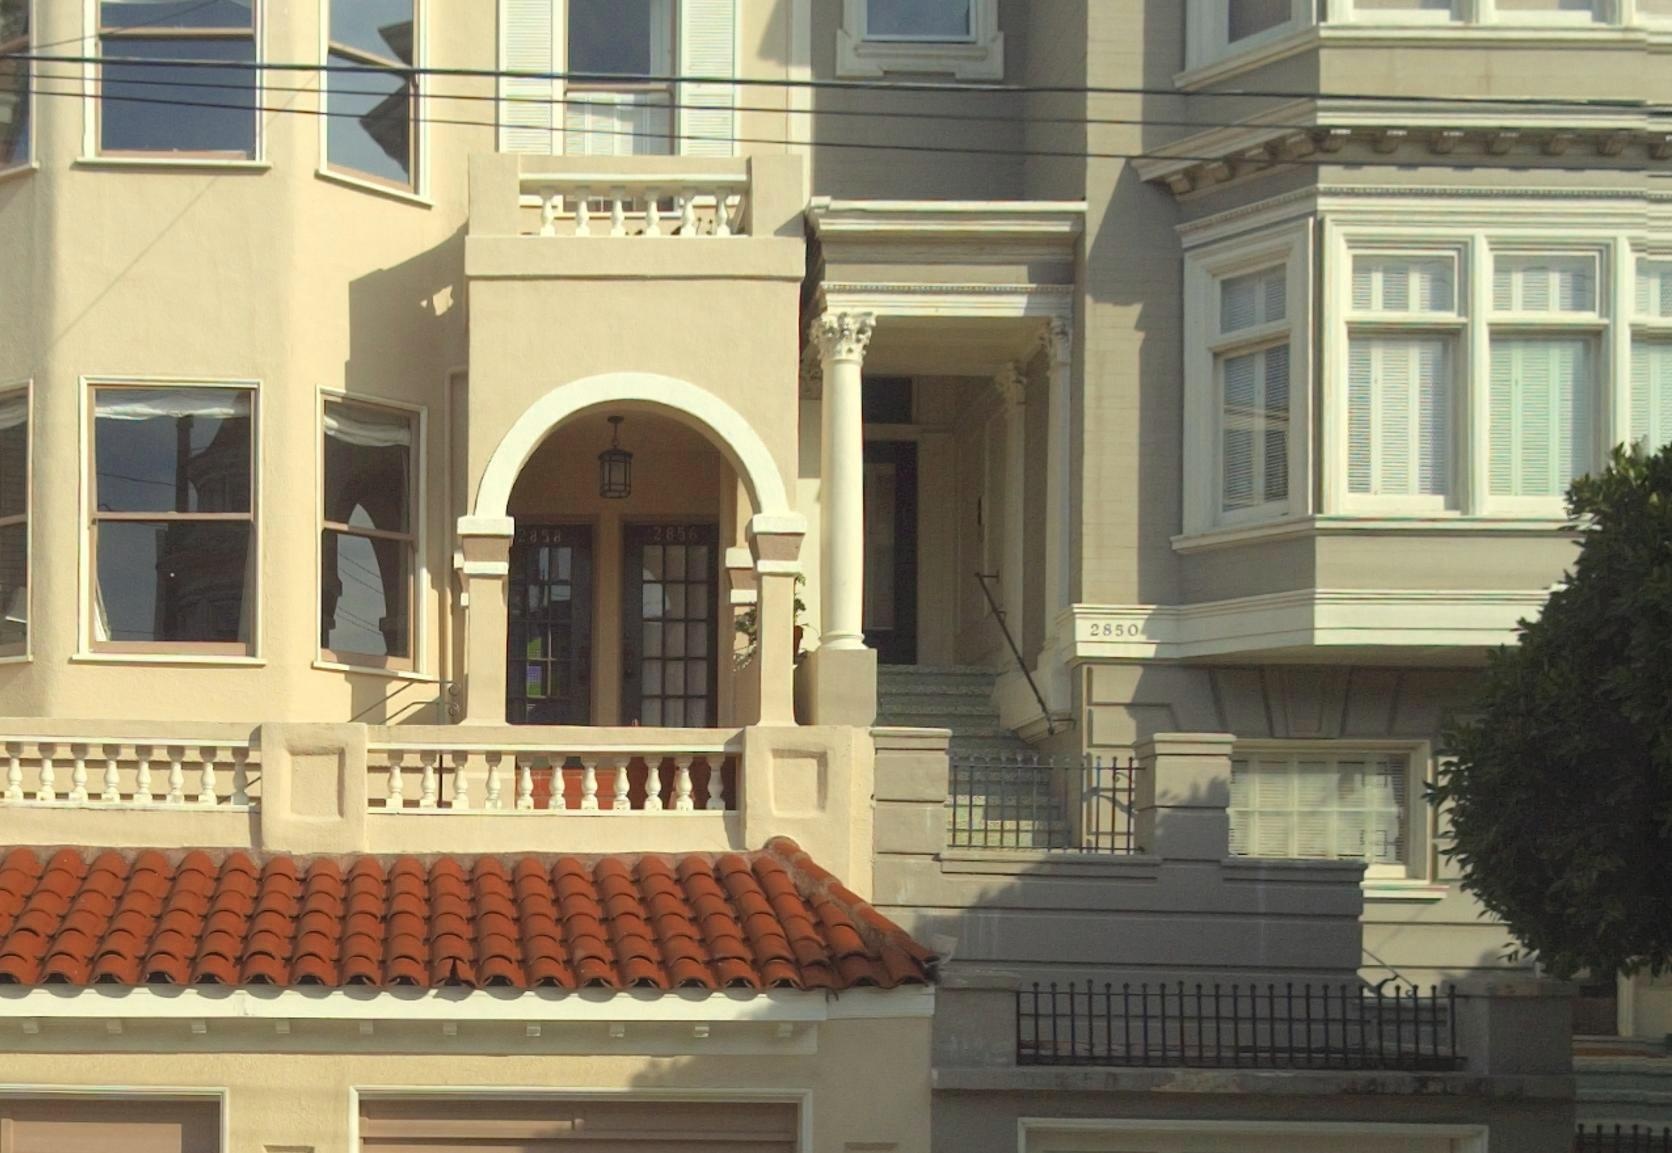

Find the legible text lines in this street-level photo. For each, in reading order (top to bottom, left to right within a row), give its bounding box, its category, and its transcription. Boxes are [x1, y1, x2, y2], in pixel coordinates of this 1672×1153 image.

[516, 527, 563, 545] StreetNumber: 2858
[650, 524, 699, 543] StreetNumber: 2856
[1088, 621, 1140, 638] StreetNumber: 2850